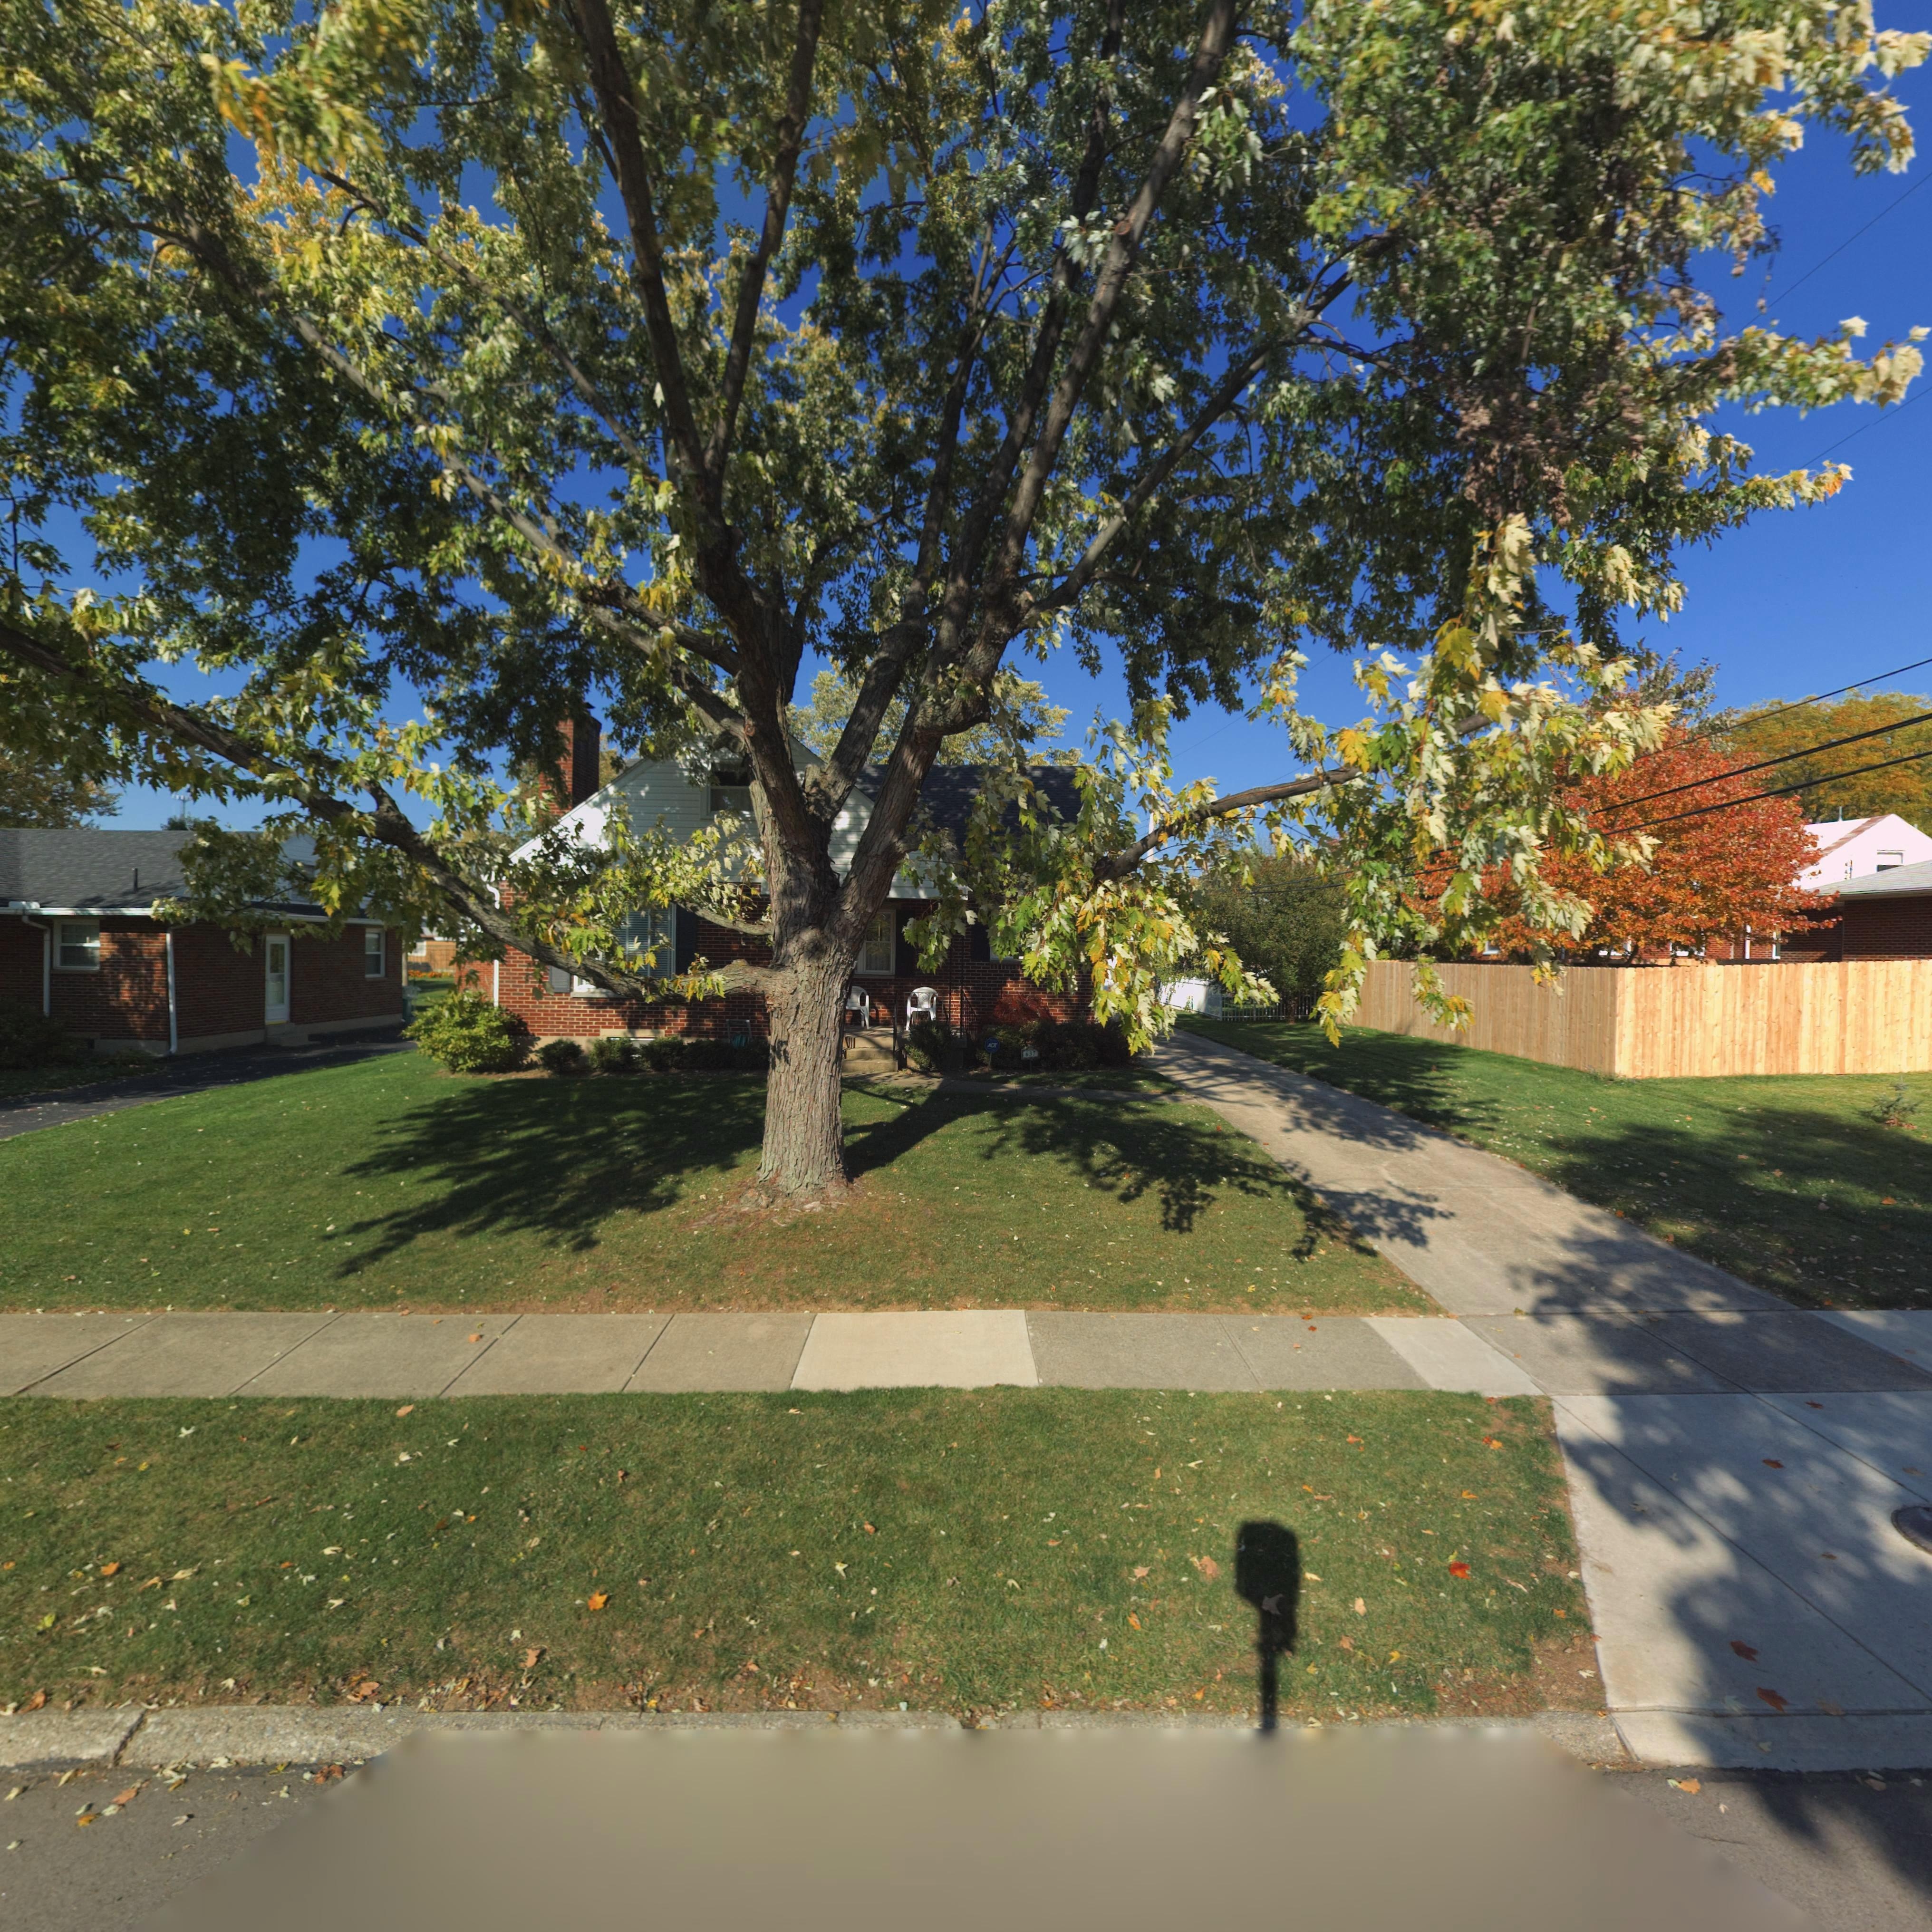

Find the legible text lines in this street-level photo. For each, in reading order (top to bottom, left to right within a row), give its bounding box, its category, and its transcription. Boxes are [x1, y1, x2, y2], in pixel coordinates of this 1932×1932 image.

[986, 1042, 998, 1048] None: ADT
[1025, 1051, 1036, 1057] StreetNumber: 637